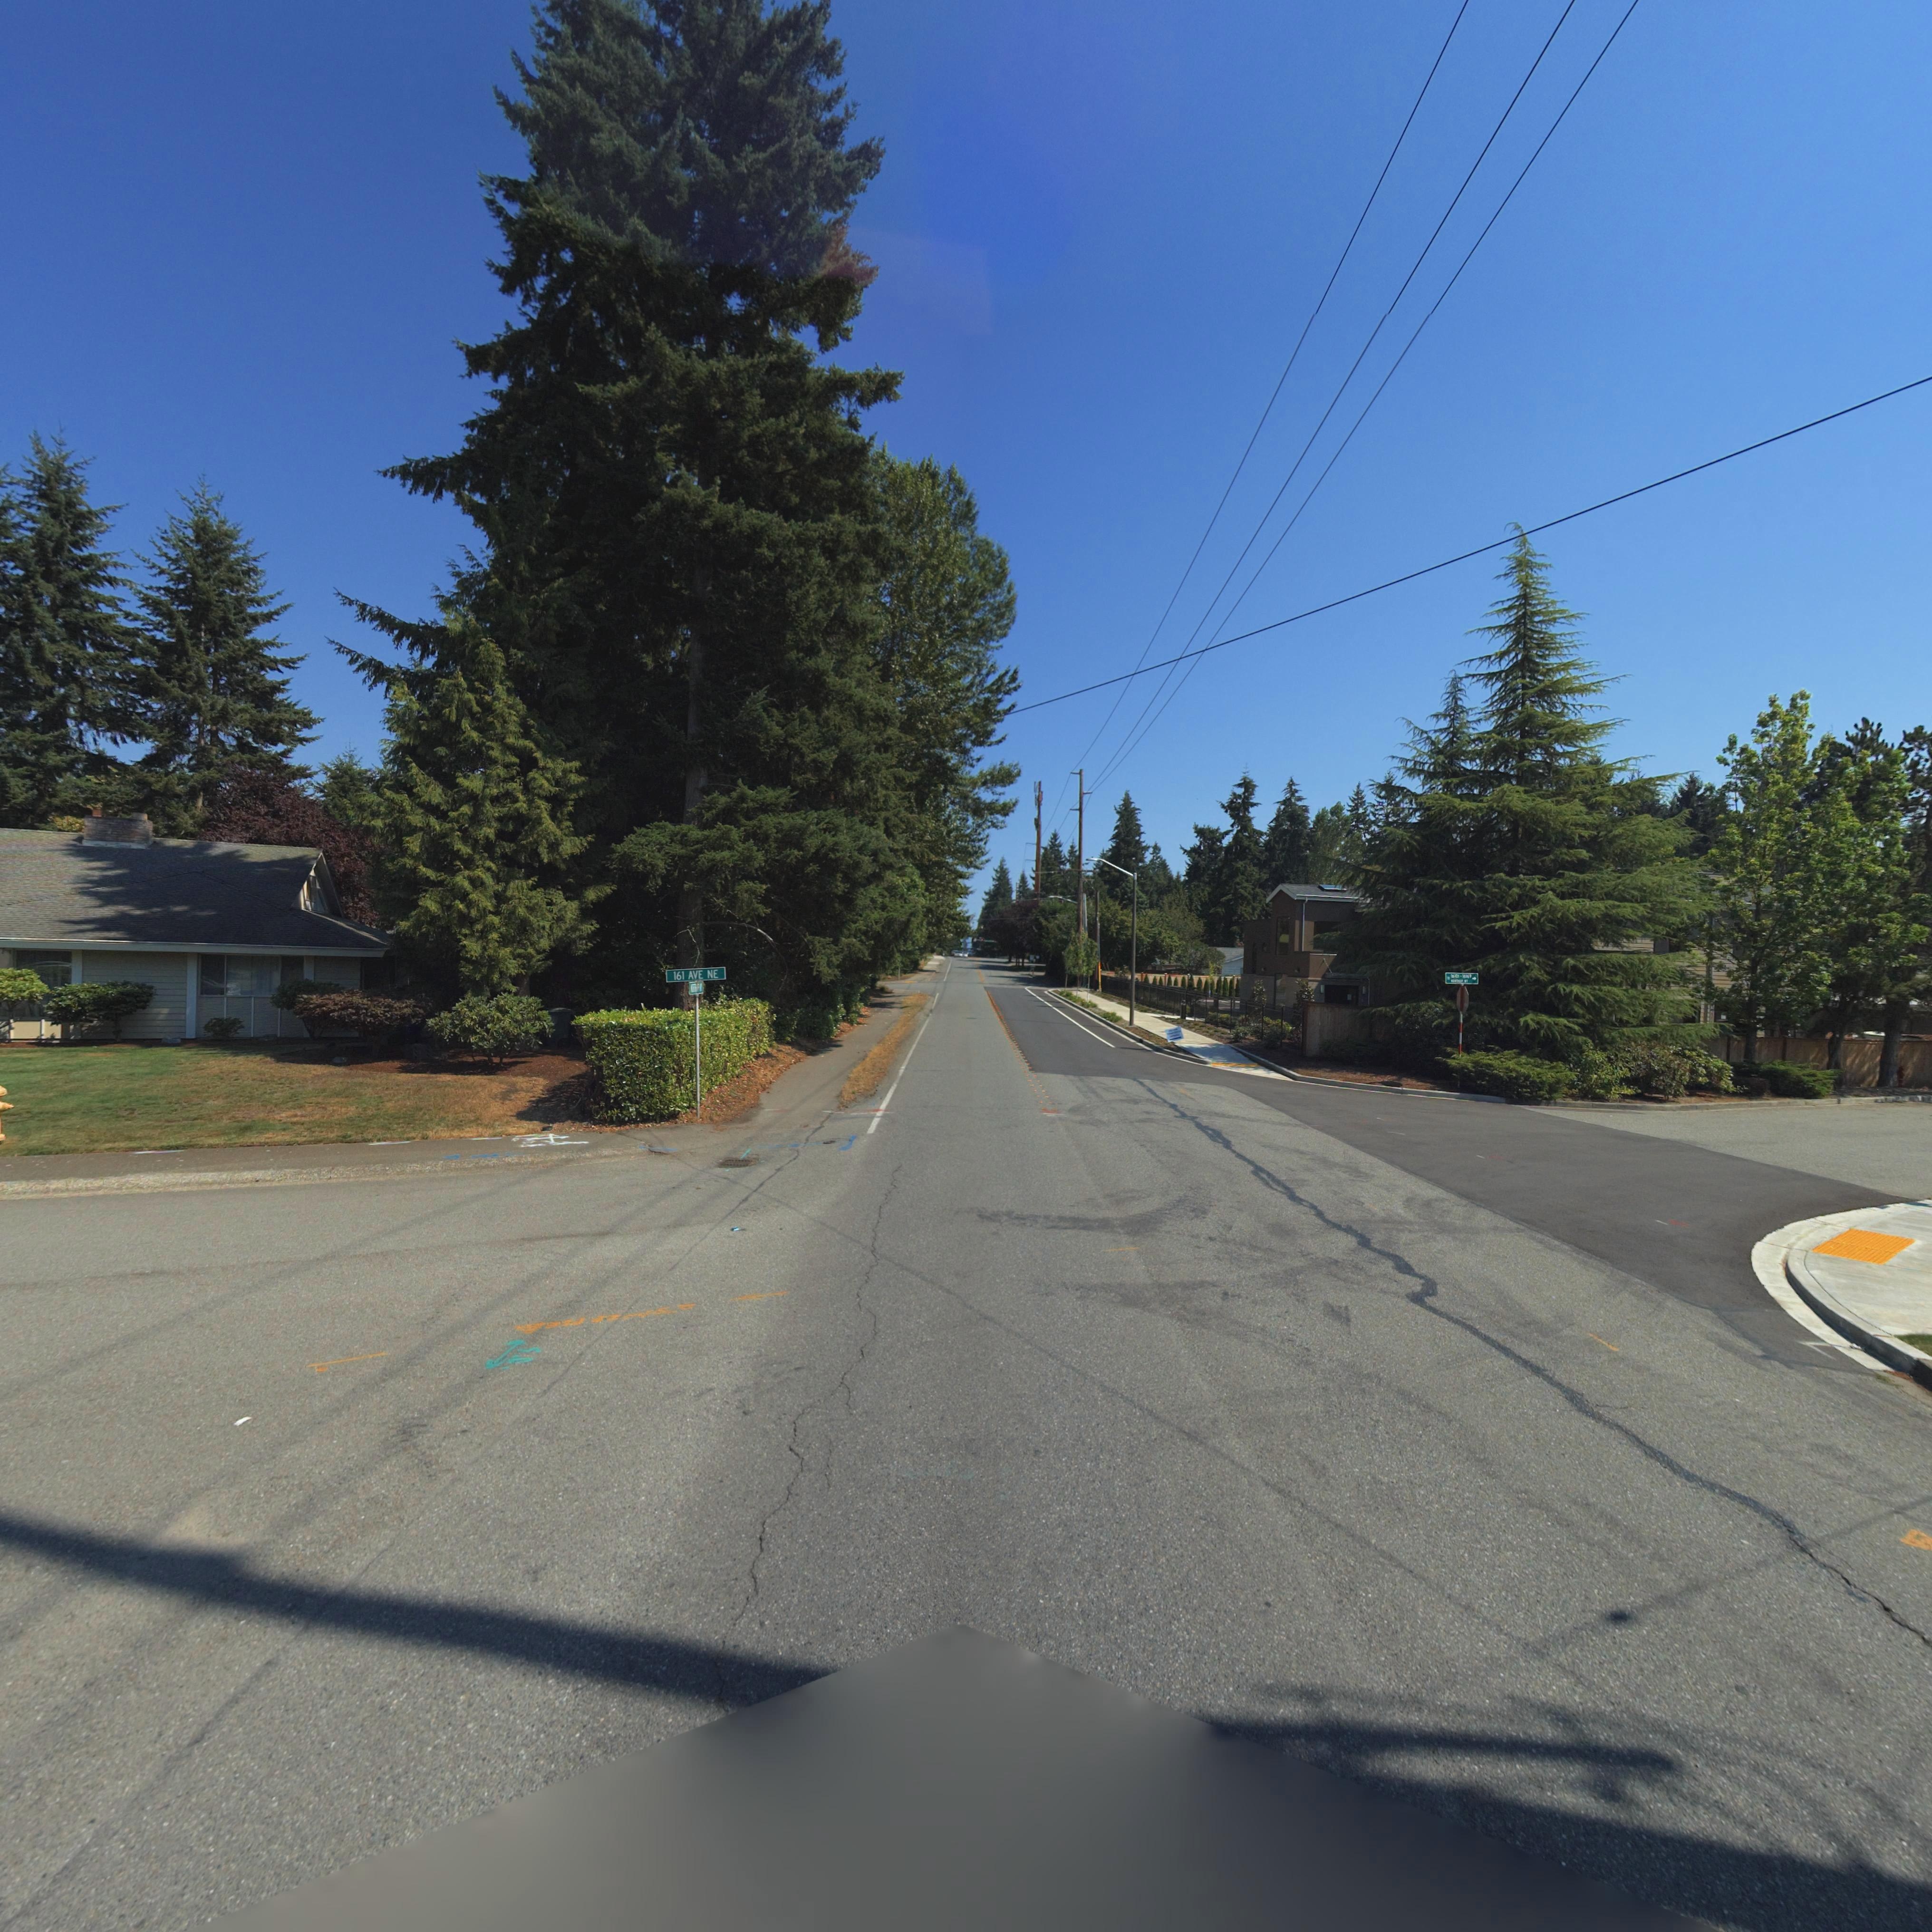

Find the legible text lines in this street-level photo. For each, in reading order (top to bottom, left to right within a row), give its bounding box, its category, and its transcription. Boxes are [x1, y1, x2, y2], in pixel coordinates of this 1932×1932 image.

[673, 969, 718, 980] StreetName: 161 AVE NE